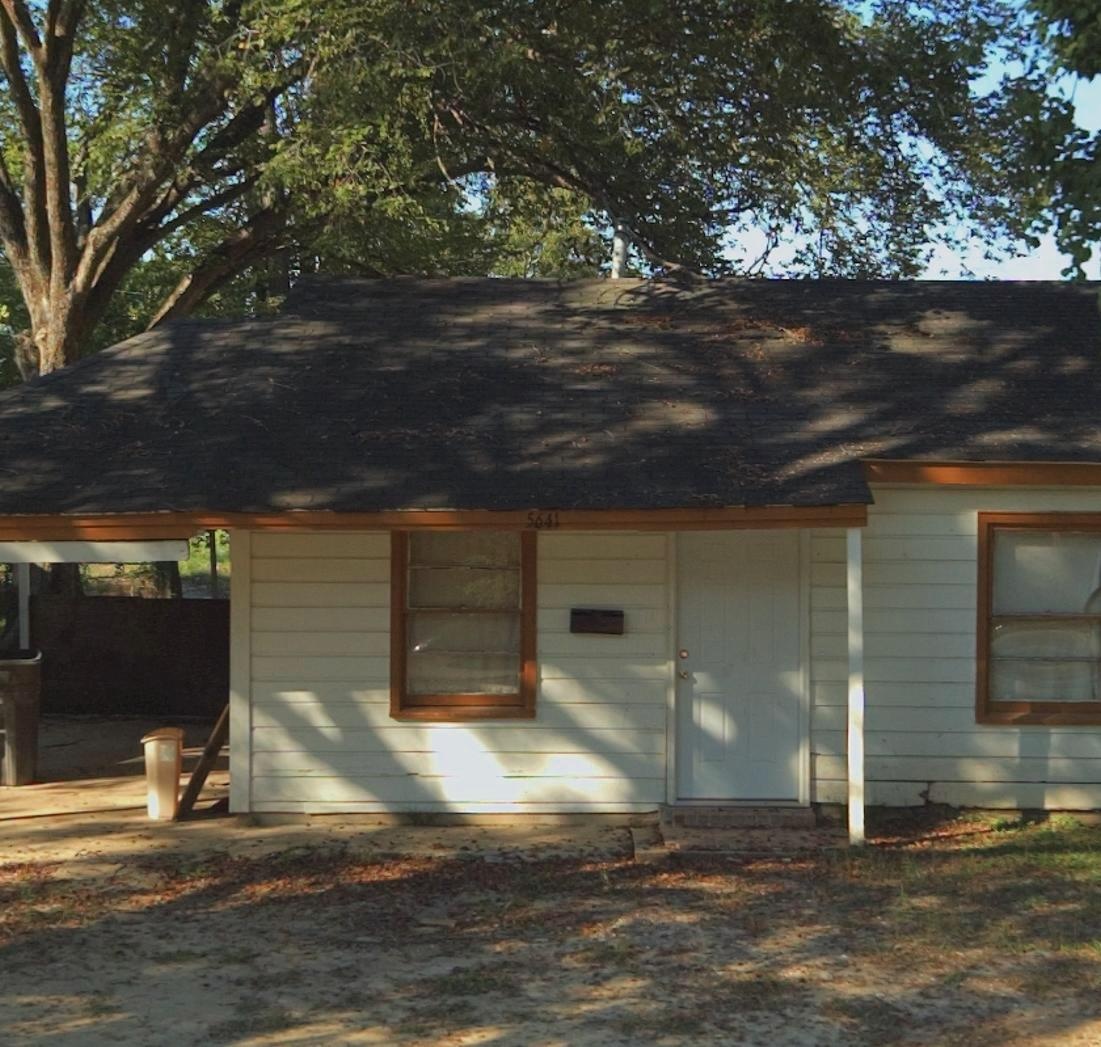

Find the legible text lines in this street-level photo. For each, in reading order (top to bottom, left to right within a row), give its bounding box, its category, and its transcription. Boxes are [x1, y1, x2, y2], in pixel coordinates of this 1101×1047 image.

[526, 511, 560, 529] StreetNumber: 5641